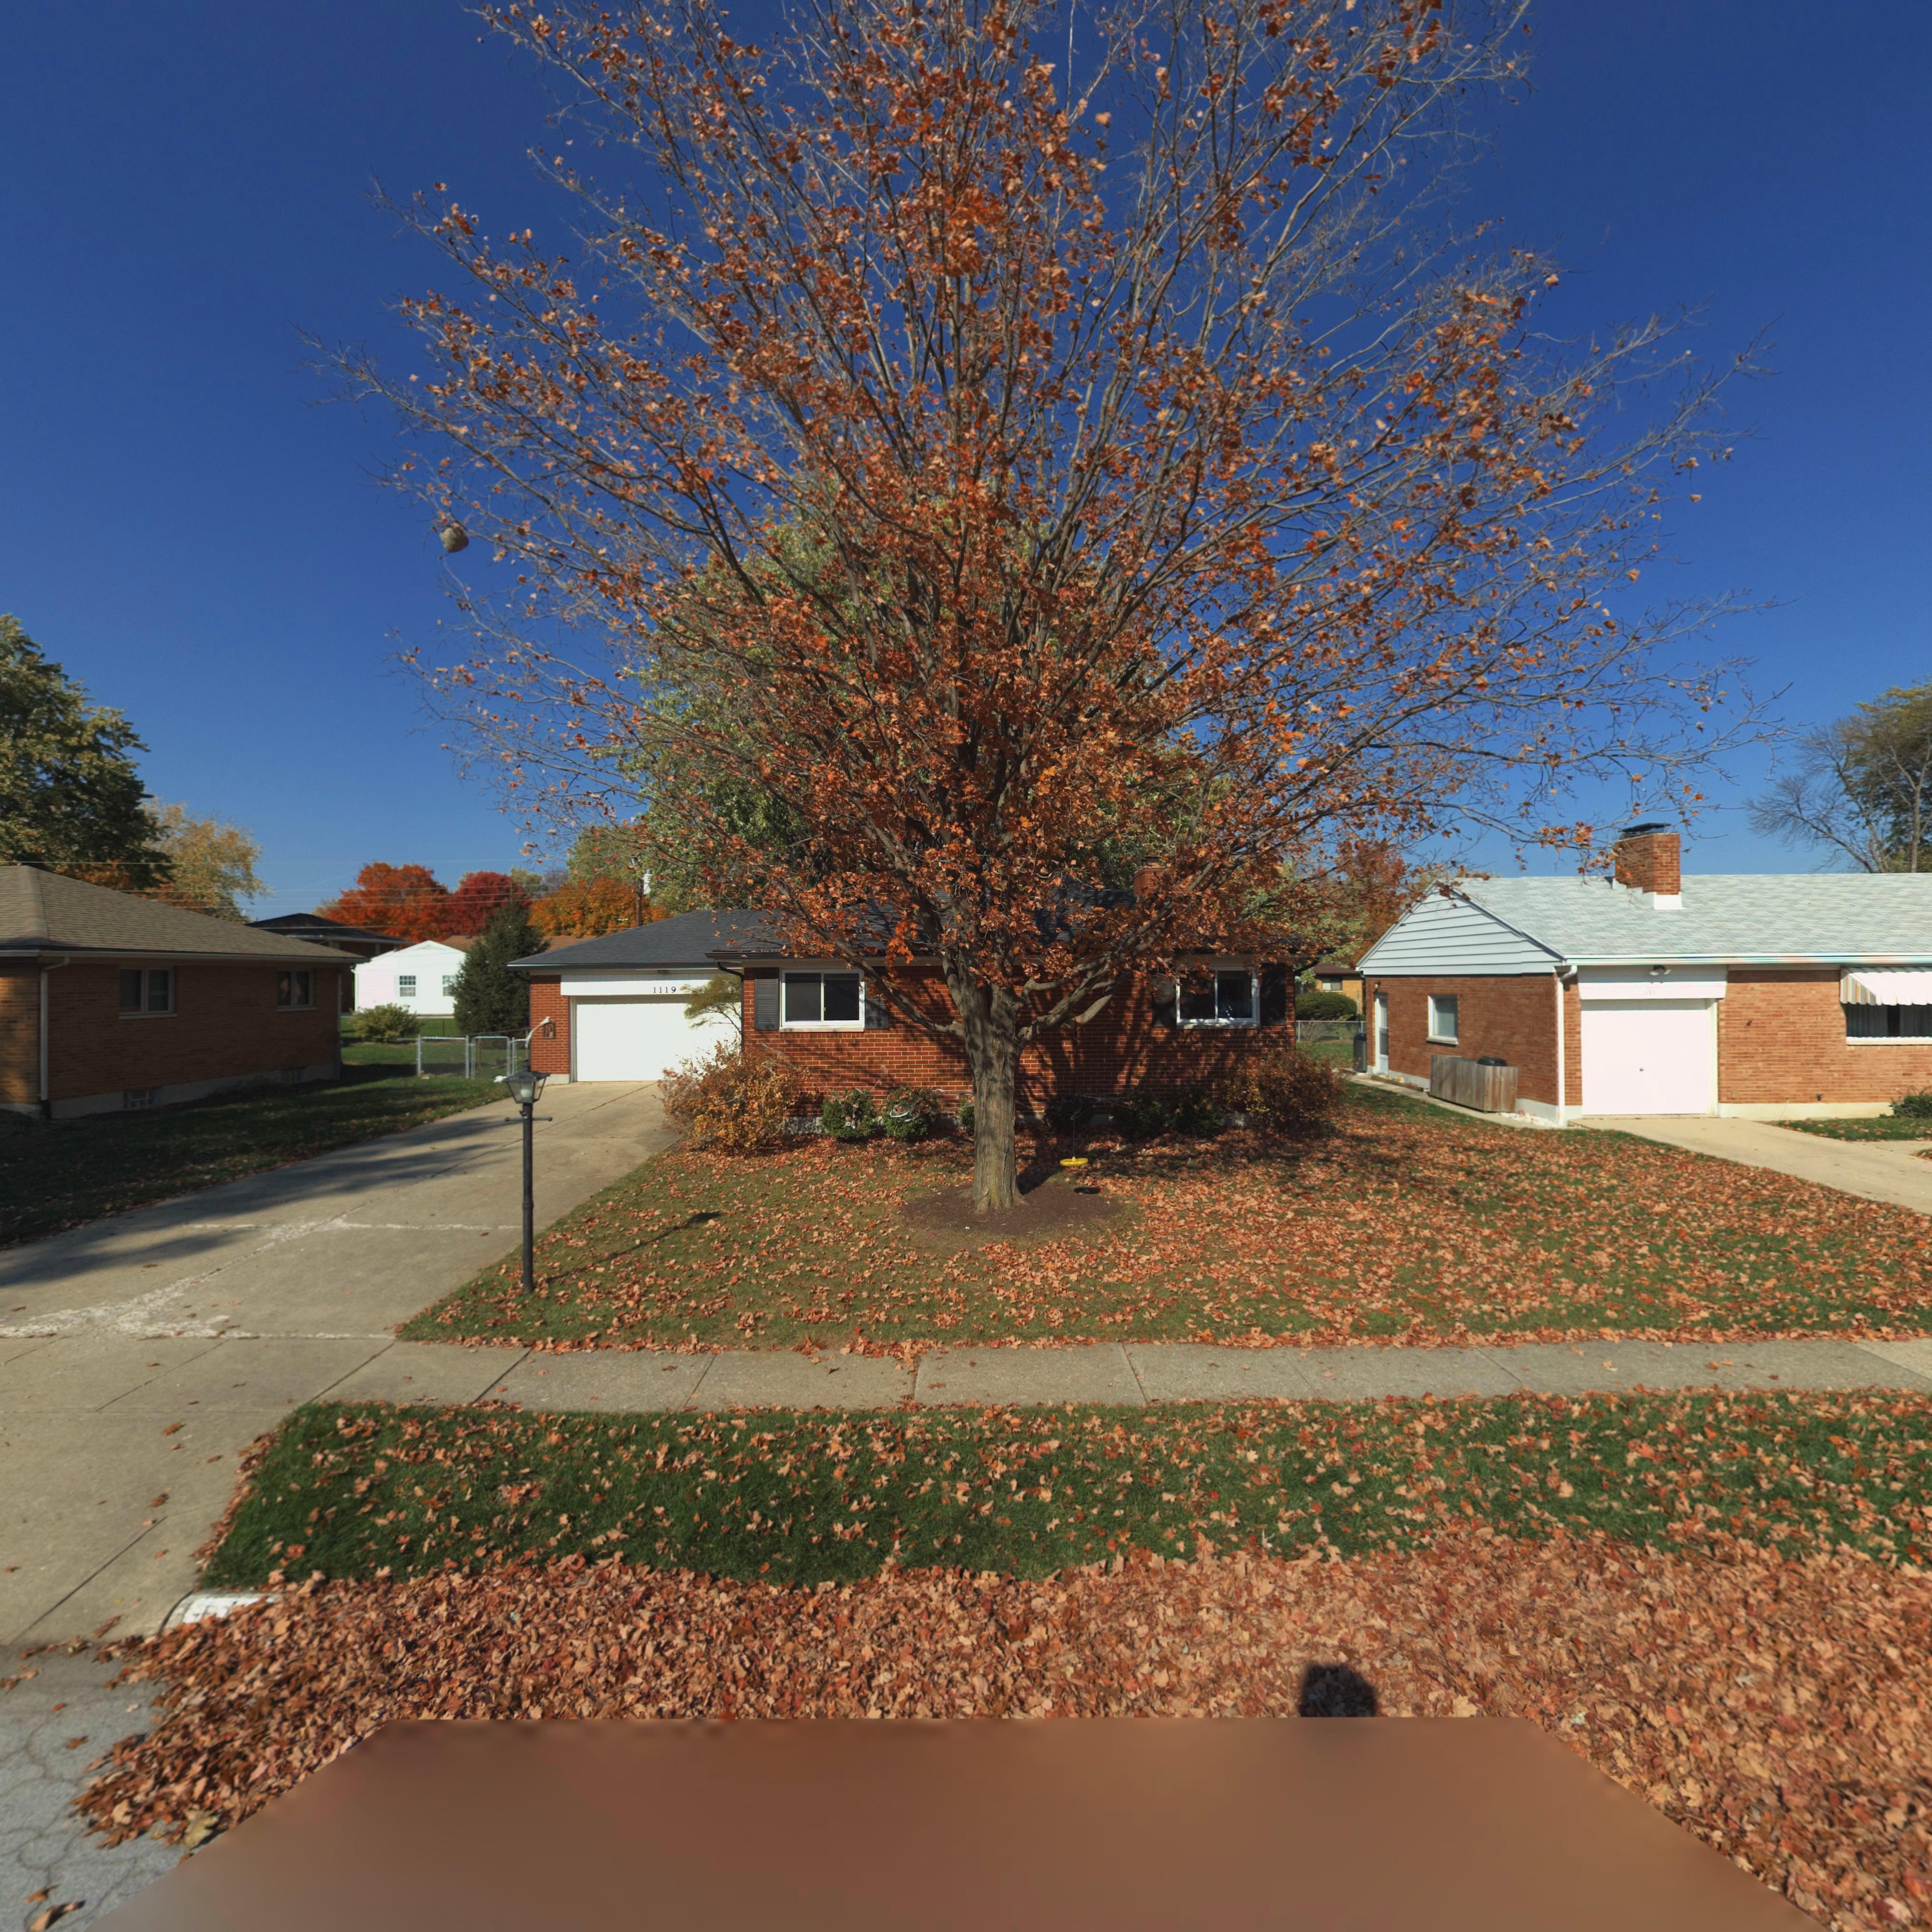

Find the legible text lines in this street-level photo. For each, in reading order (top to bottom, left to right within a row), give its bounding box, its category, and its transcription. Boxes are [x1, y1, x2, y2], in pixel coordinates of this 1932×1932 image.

[653, 985, 676, 994] StreetNumber: 1119
[1641, 989, 1656, 995] StreetNumber: 1125